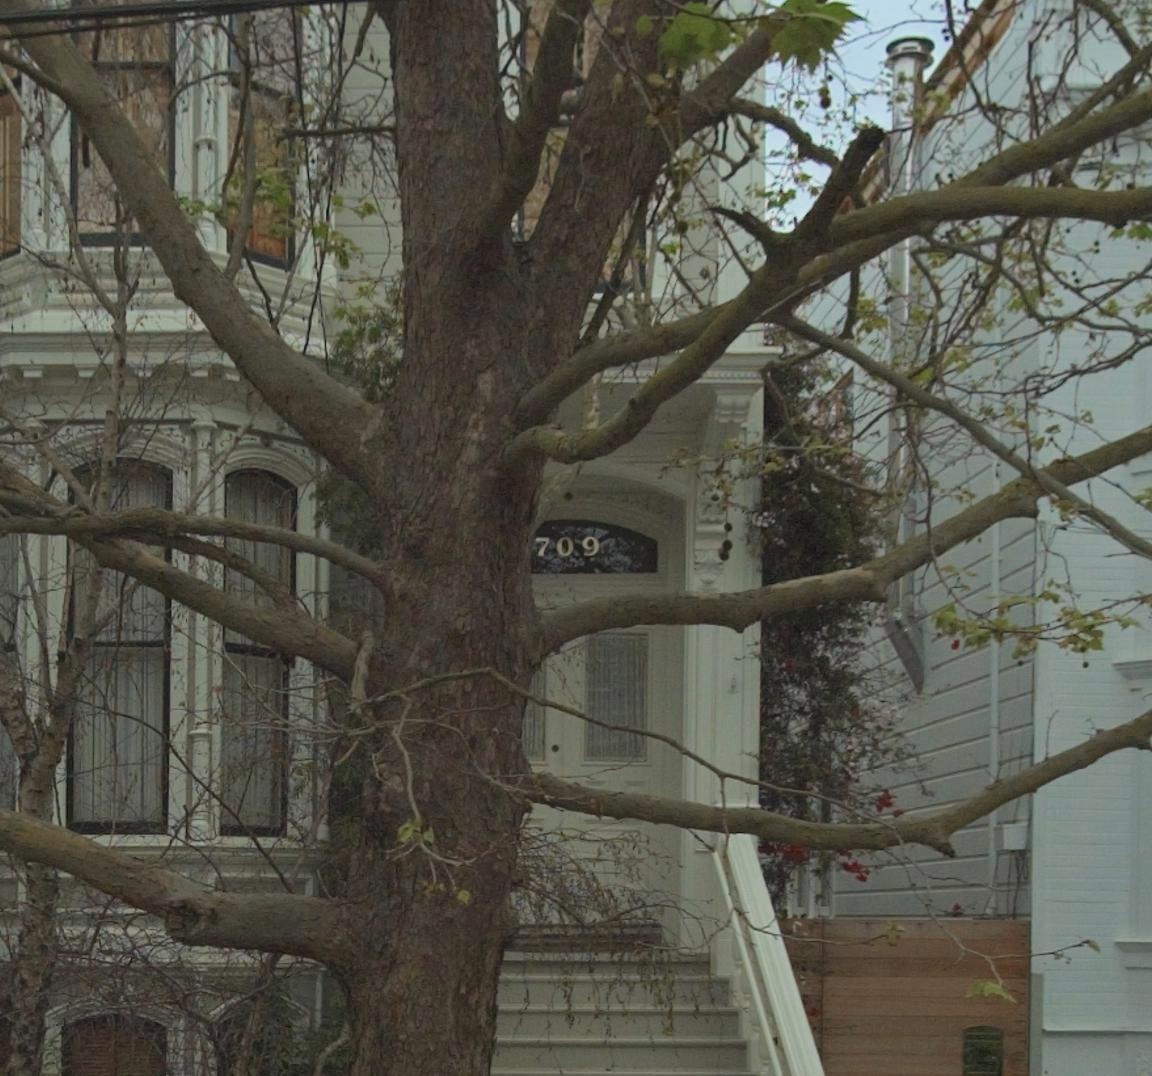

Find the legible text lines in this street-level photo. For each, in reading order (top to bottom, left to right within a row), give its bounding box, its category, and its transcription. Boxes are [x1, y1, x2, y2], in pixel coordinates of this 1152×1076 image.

[532, 534, 602, 559] StreetNumber: 709